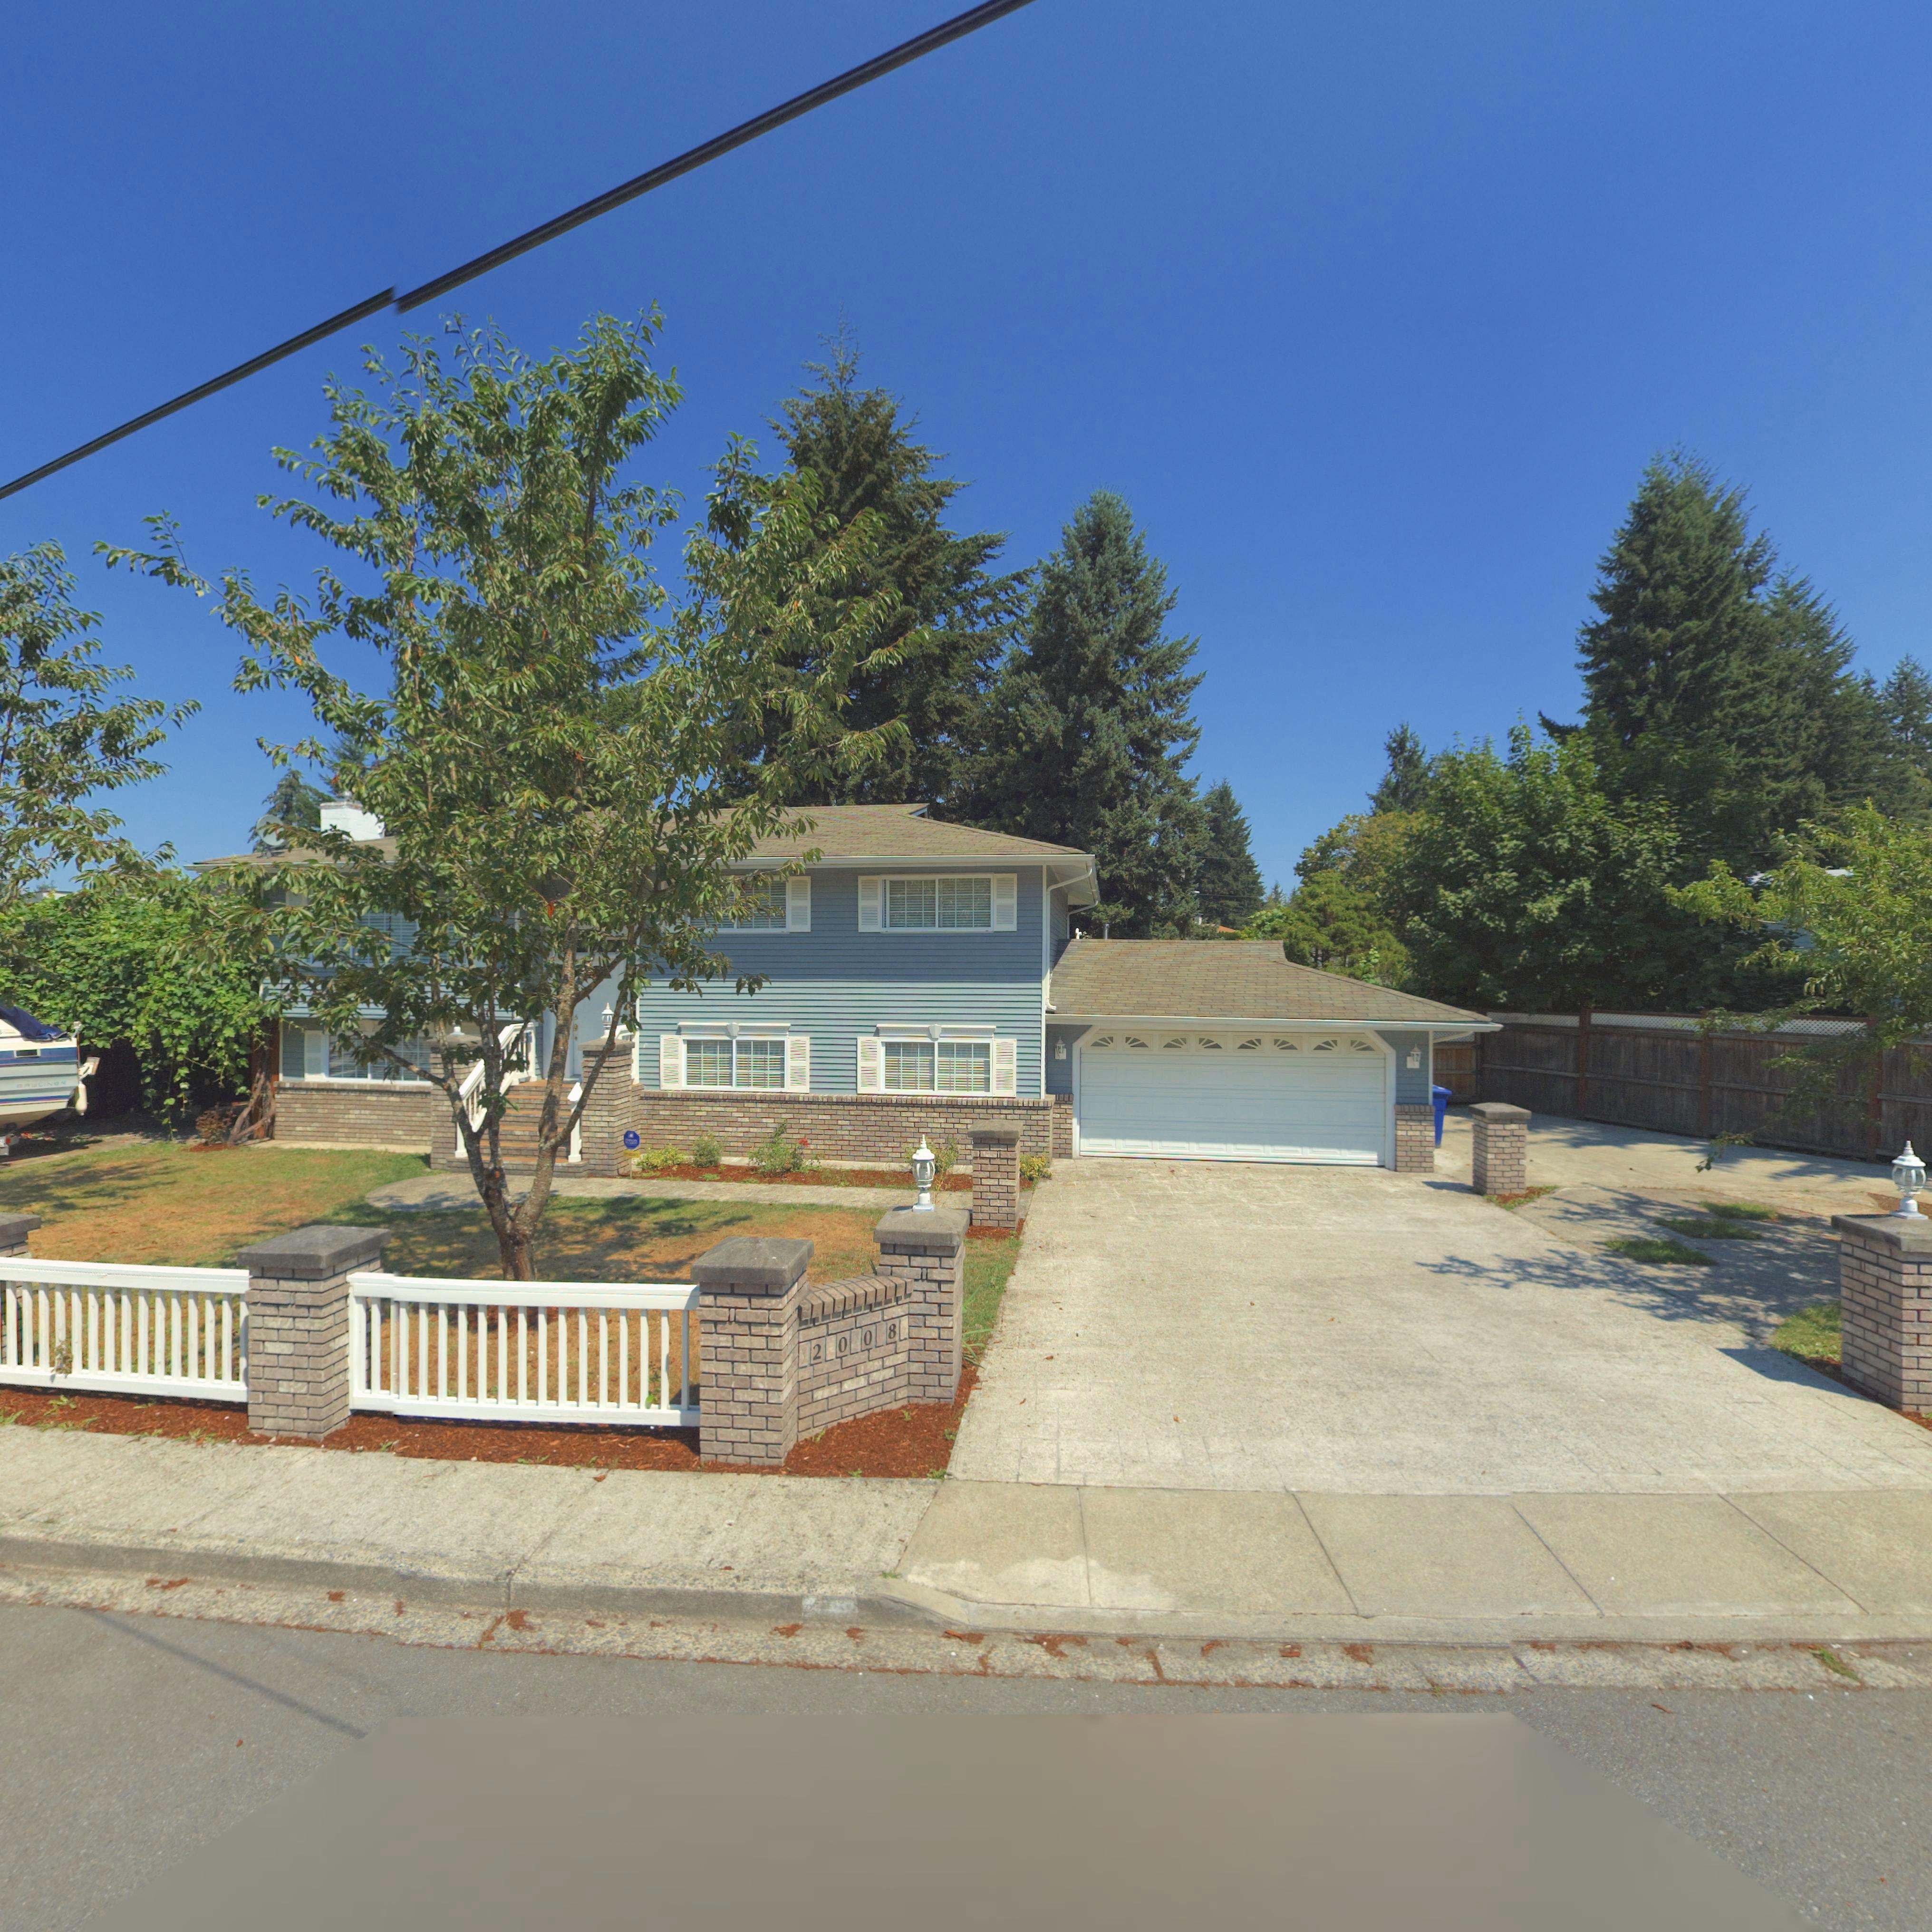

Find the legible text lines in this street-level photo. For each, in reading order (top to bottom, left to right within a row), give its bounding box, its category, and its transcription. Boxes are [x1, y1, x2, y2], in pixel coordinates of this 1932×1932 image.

[809, 1323, 898, 1361] StreetNumber: 2008